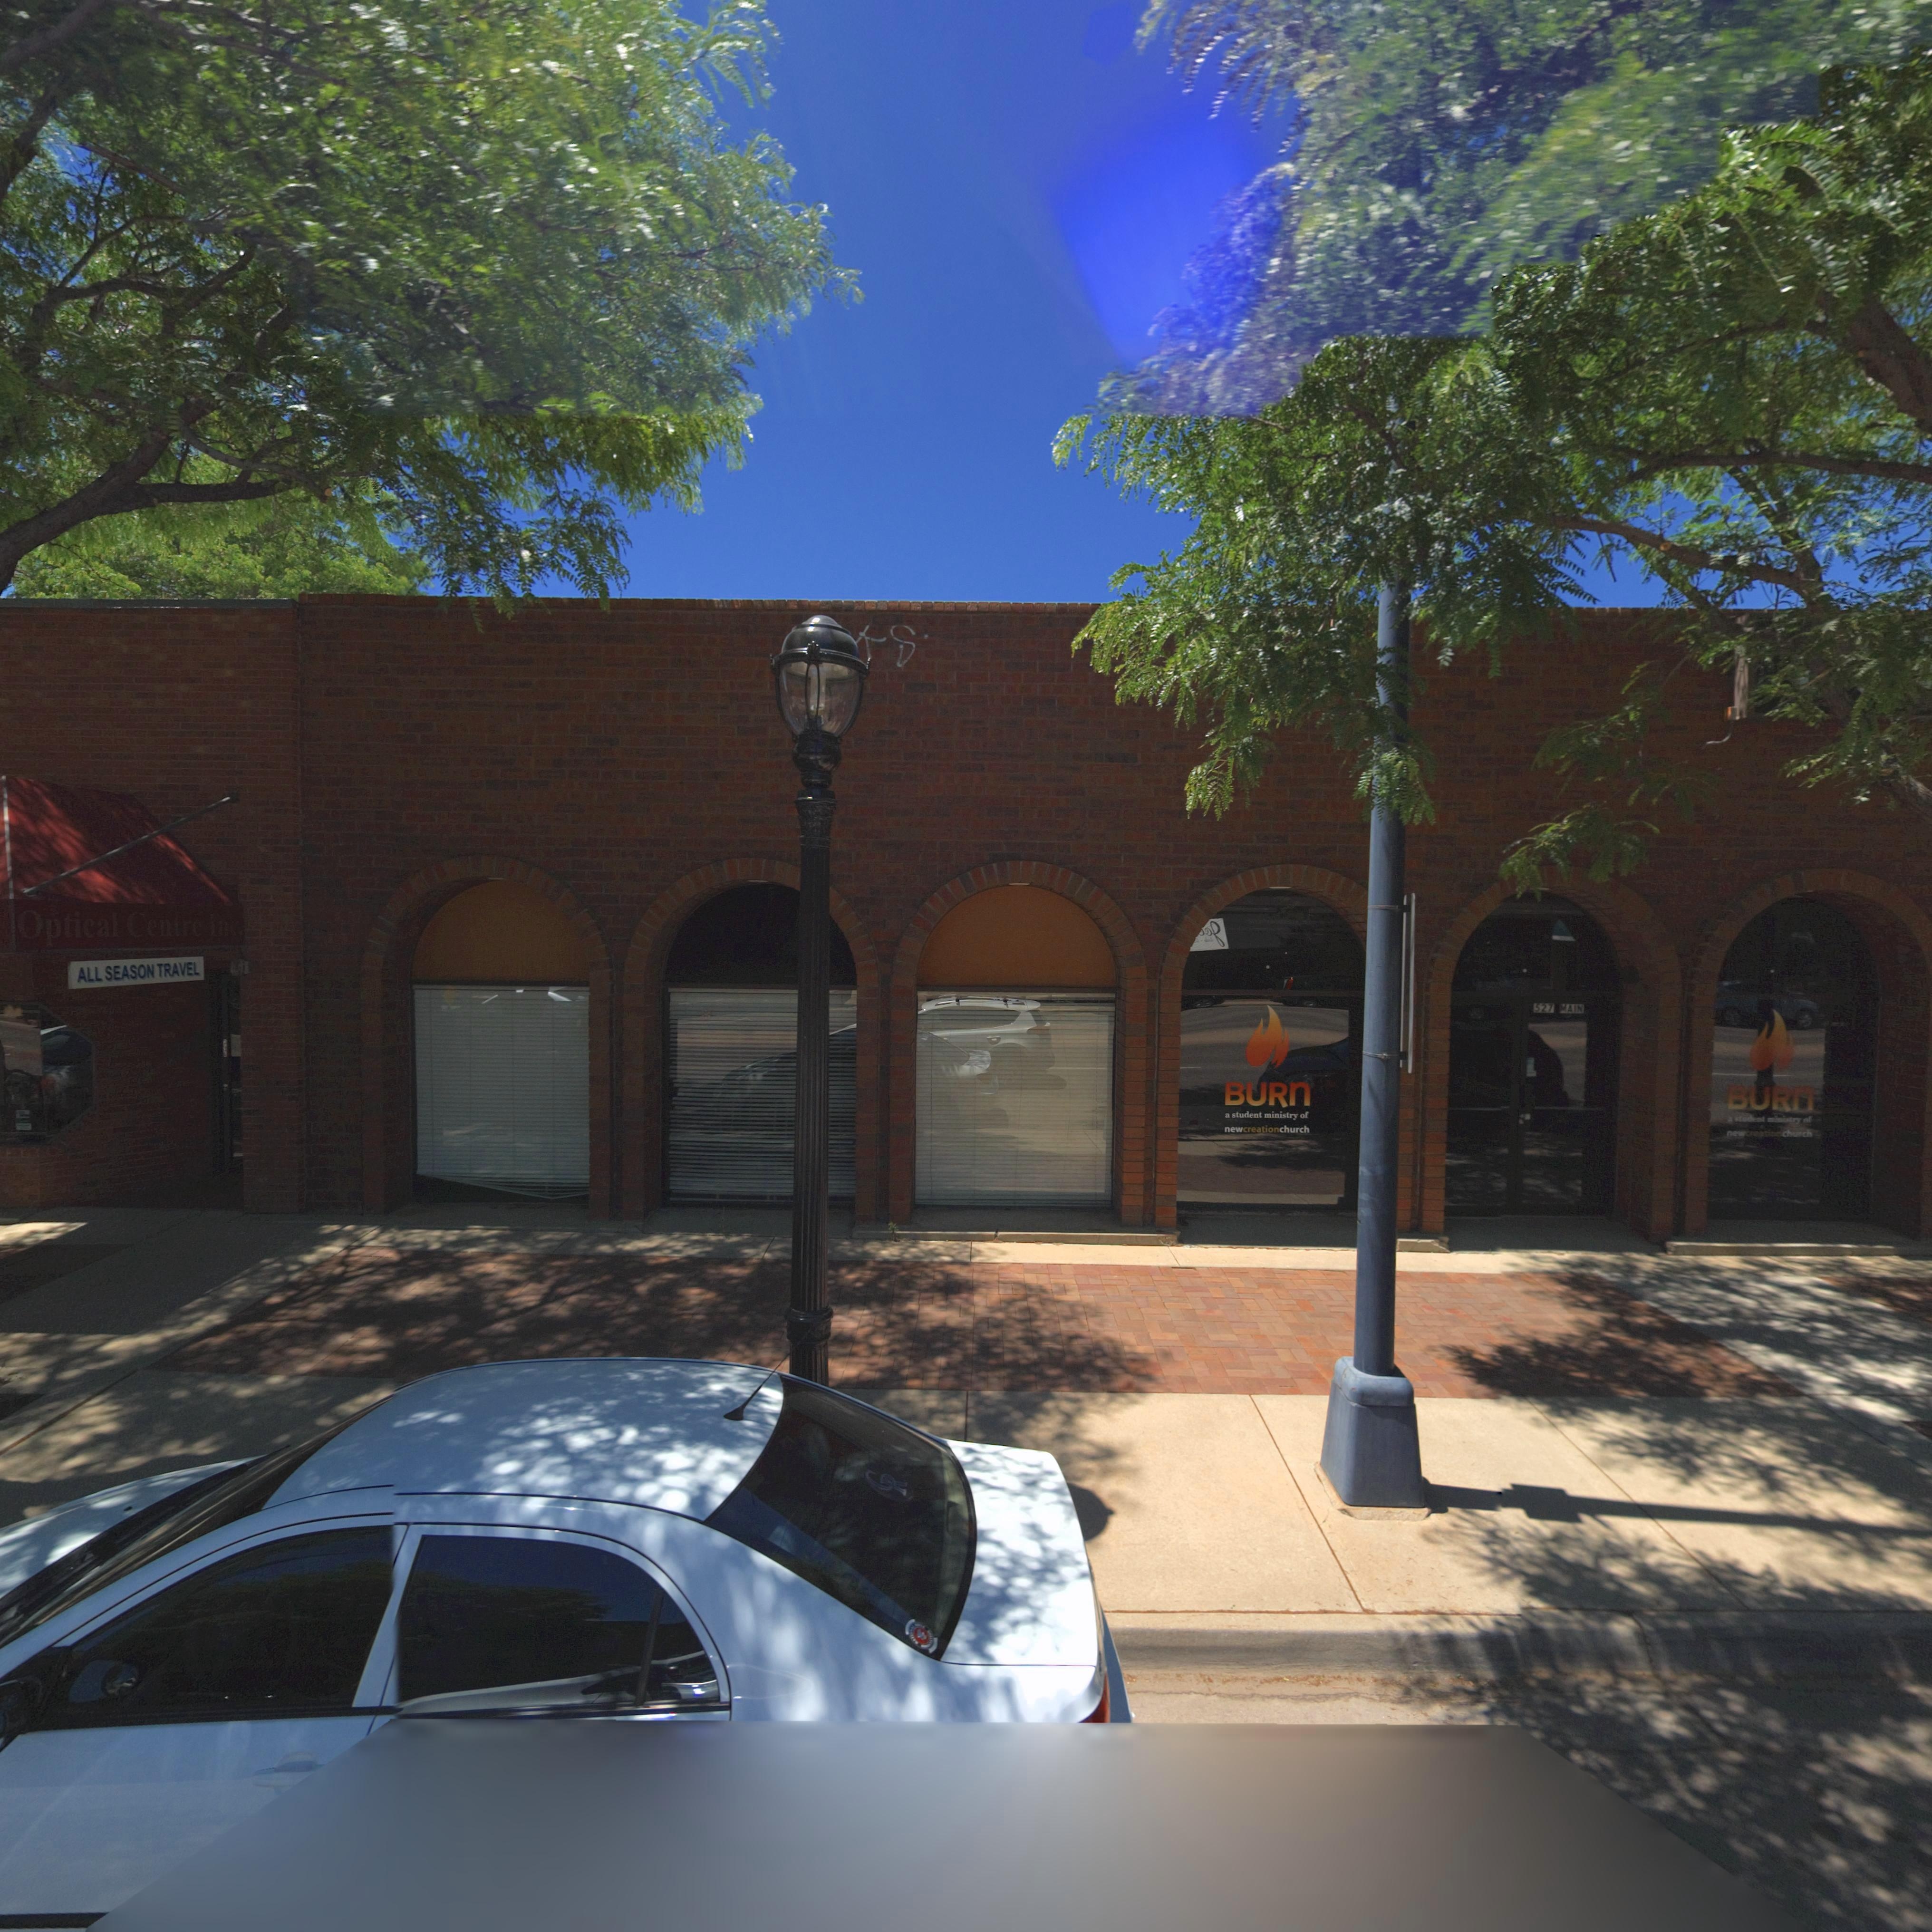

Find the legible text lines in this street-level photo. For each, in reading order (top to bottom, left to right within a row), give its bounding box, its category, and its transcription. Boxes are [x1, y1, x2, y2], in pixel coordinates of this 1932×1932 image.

[16, 908, 244, 947] BusinessName: Optical Centre Inc.
[76, 961, 200, 984] BusinessName: ALL SEASON TRAVEL
[1533, 1002, 1554, 1013] StreetNumber: 527
[1559, 1004, 1584, 1013] StreetName: MAIN
[1224, 1080, 1311, 1108] BusinessName: BURn
[1726, 1083, 1816, 1113] BusinessName: BURn